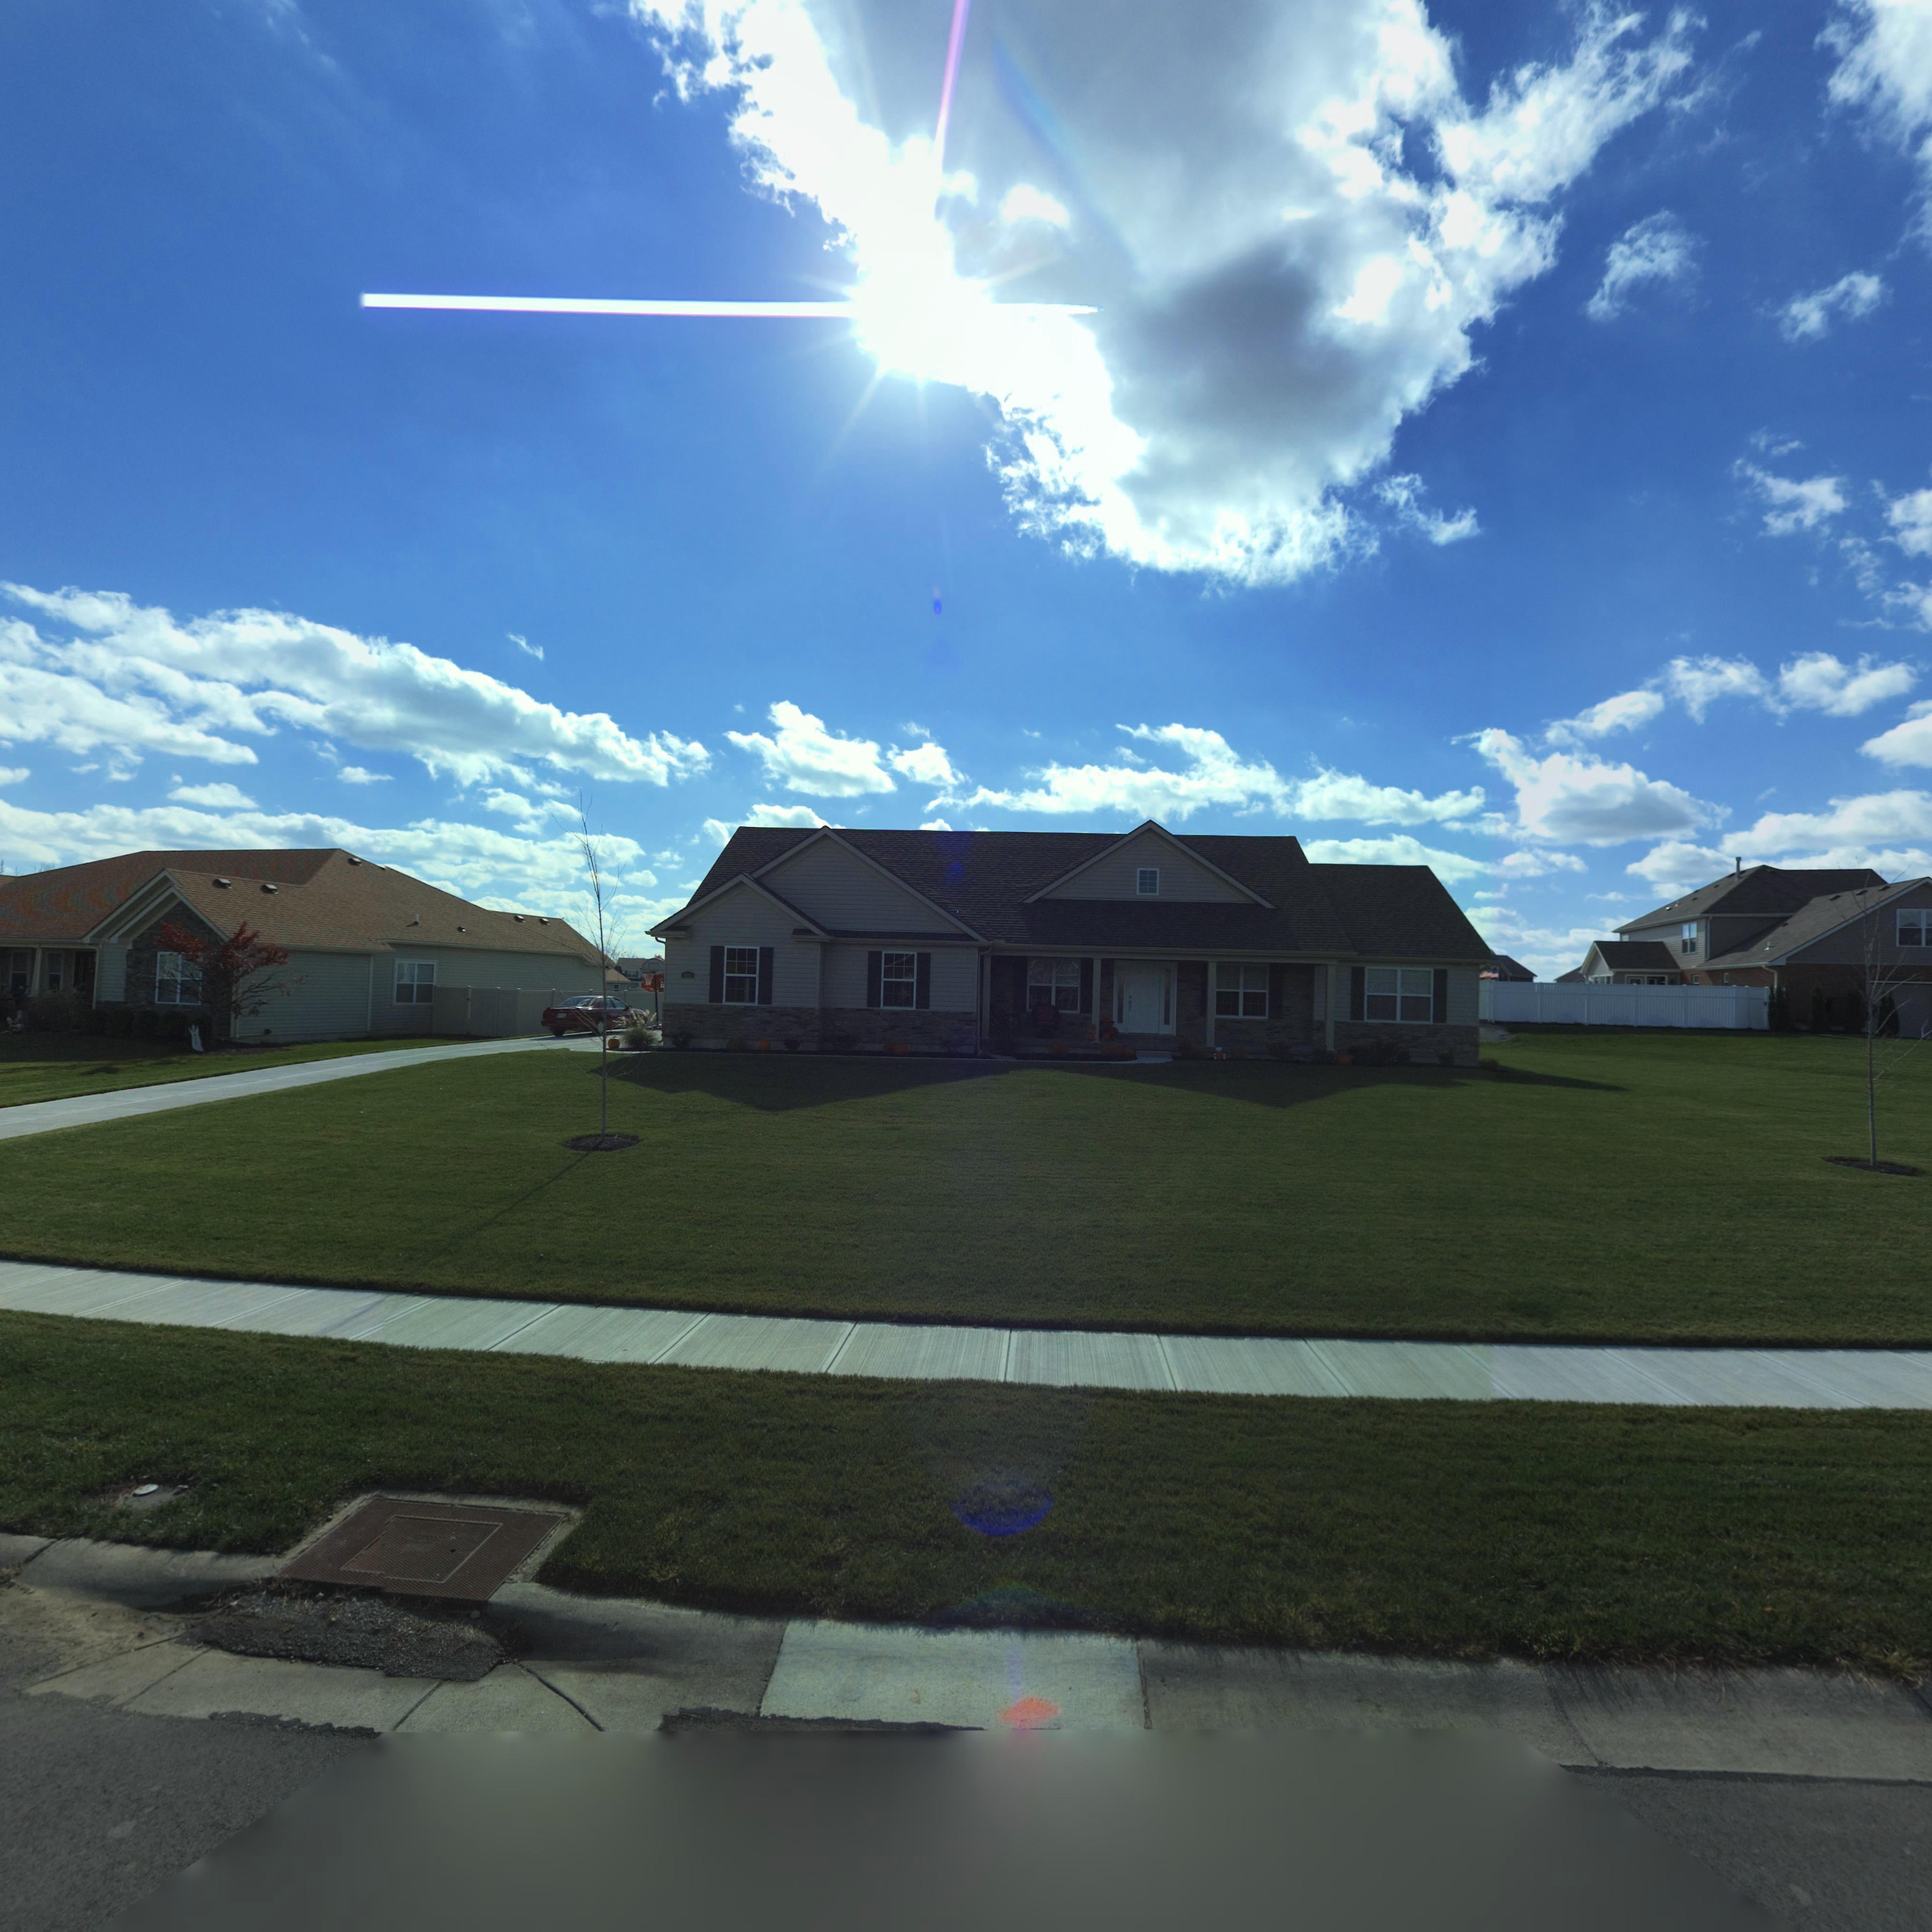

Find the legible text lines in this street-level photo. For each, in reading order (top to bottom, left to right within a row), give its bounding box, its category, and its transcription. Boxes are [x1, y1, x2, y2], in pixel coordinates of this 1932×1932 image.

[683, 973, 692, 978] StreetNumber: **2*